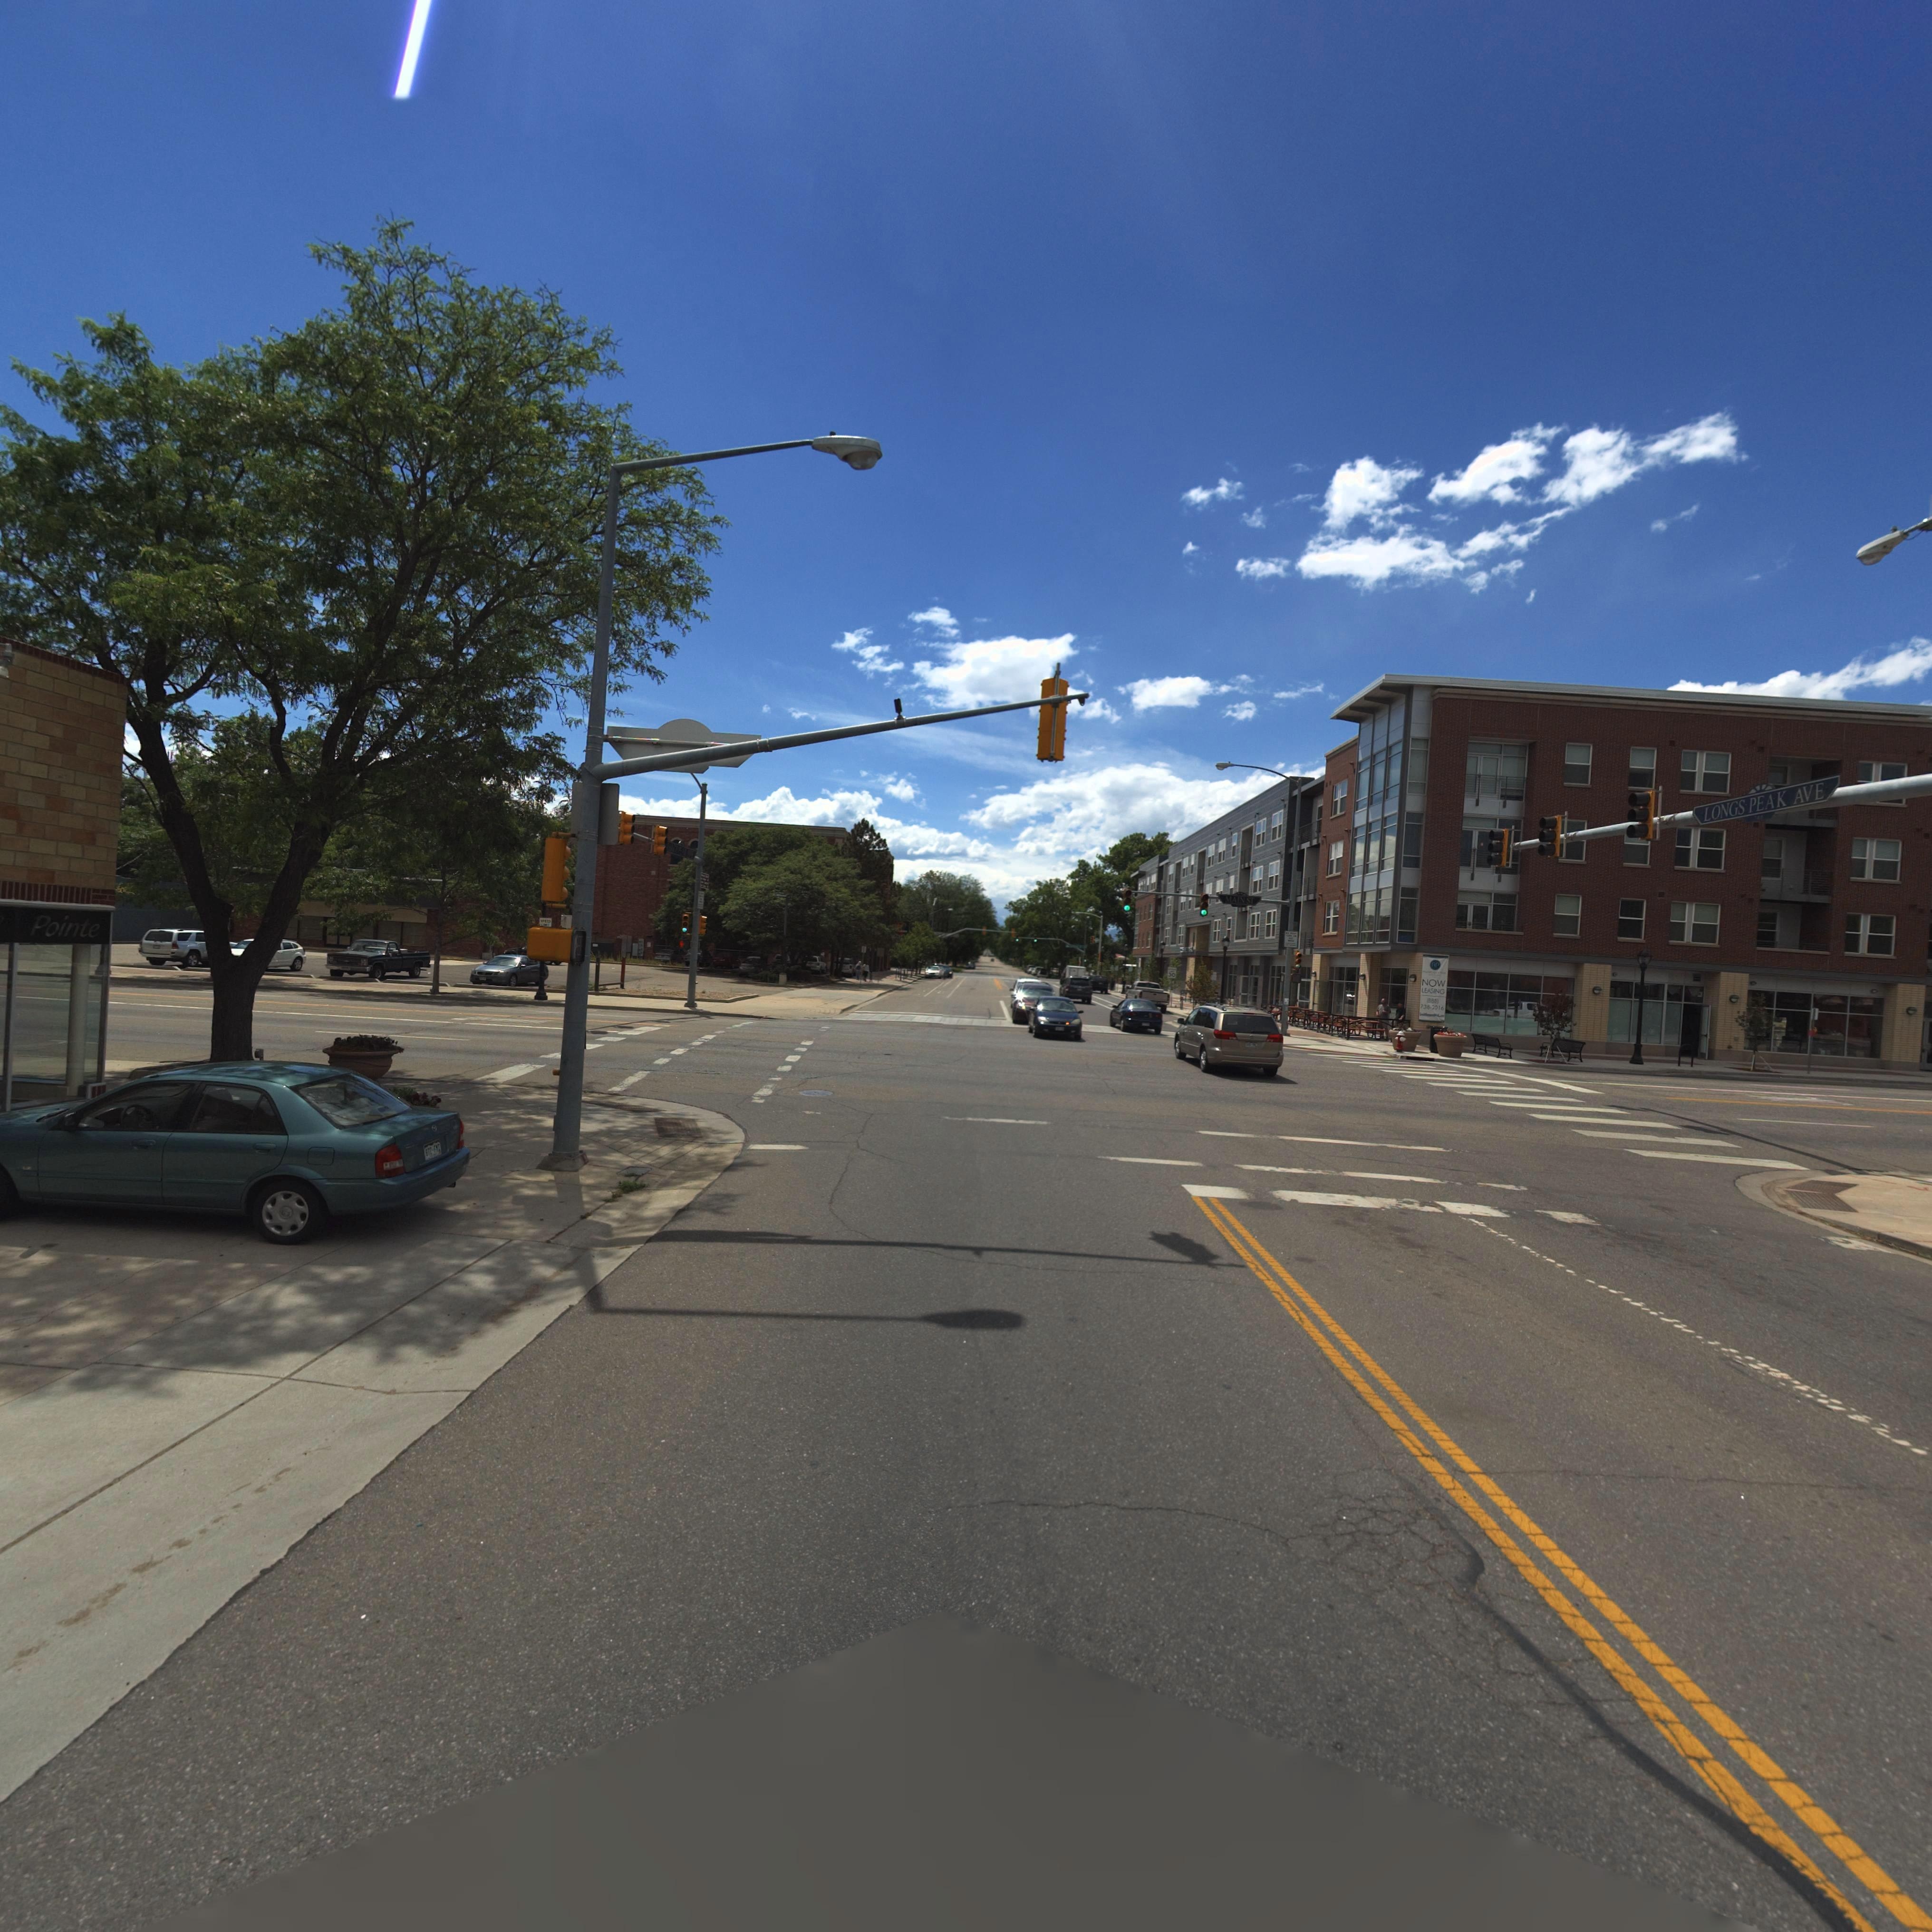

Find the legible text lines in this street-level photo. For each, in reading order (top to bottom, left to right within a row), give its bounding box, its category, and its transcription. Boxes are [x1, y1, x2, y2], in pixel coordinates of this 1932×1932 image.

[1703, 781, 1824, 822] StreetName: LONGS PEAK AVE
[1754, 814, 1763, 820] StreetNumberRange: *00
[667, 841, 695, 859] StreetName: ***** PEAK AVE
[1225, 895, 1256, 904] StreetName: MAIN ST